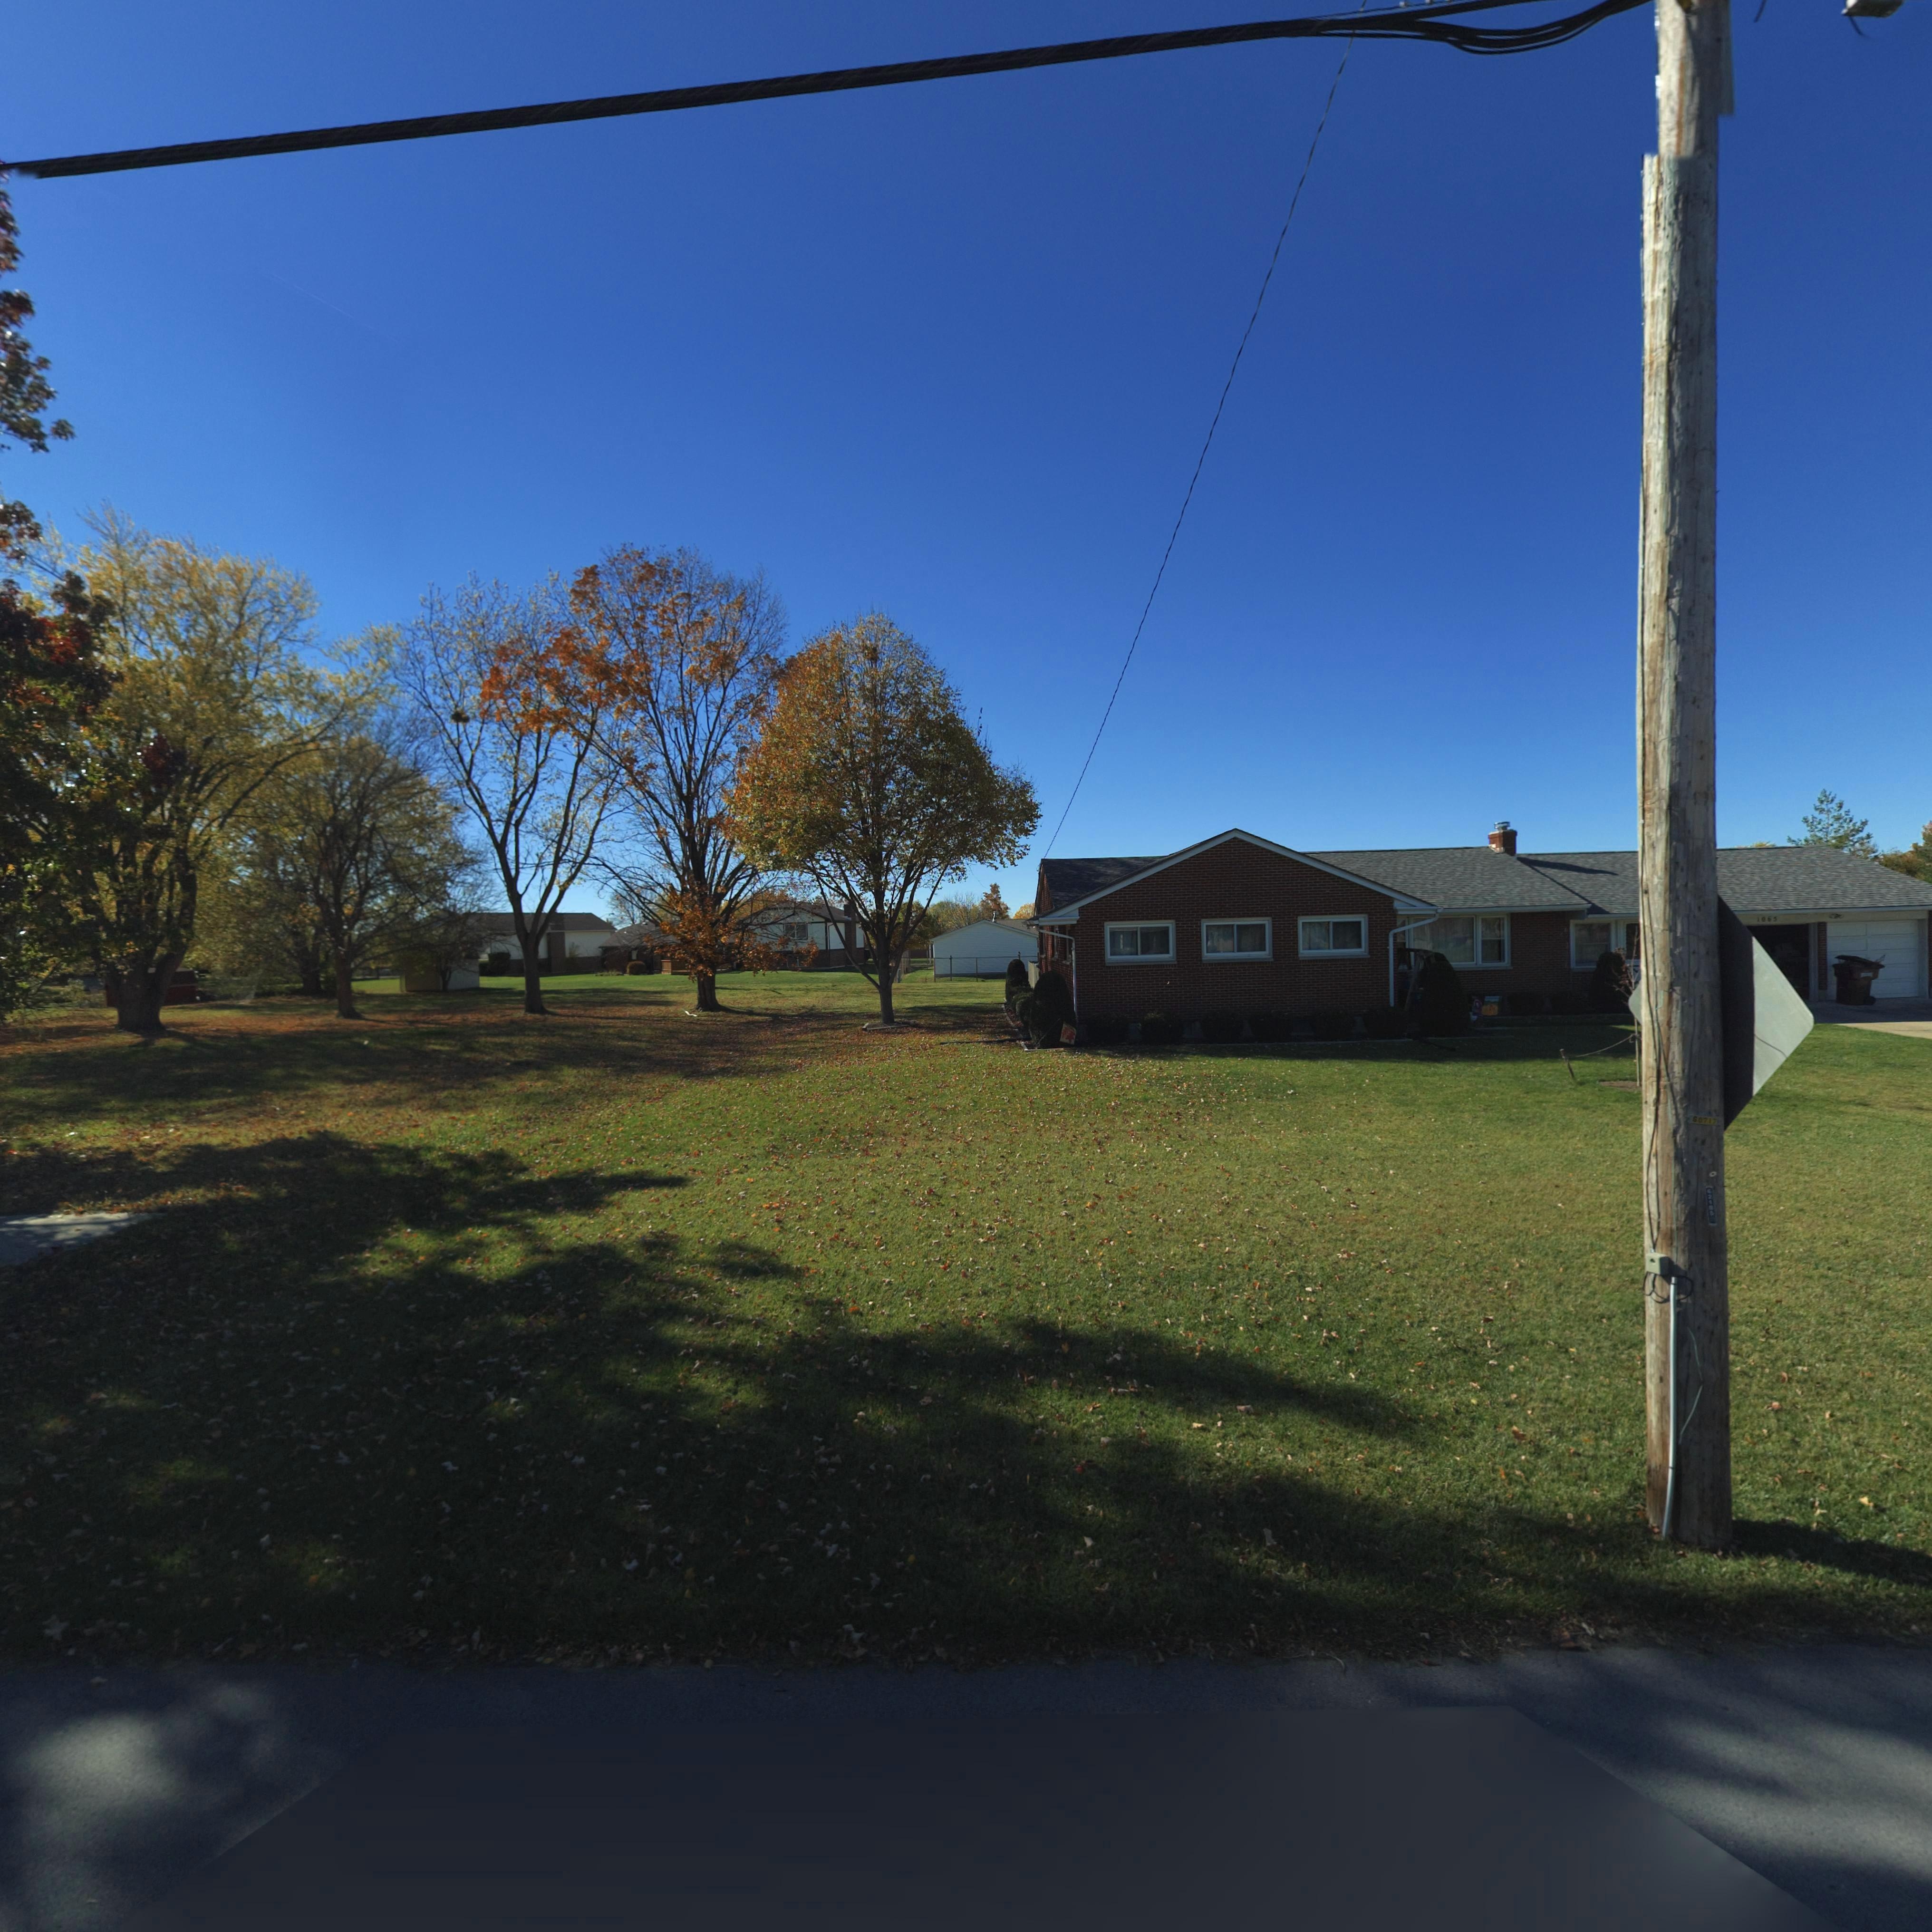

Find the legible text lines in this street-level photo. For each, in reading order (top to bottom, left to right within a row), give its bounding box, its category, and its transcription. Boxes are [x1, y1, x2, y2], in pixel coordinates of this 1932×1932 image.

[1756, 915, 1779, 923] StreetNumber: 106*